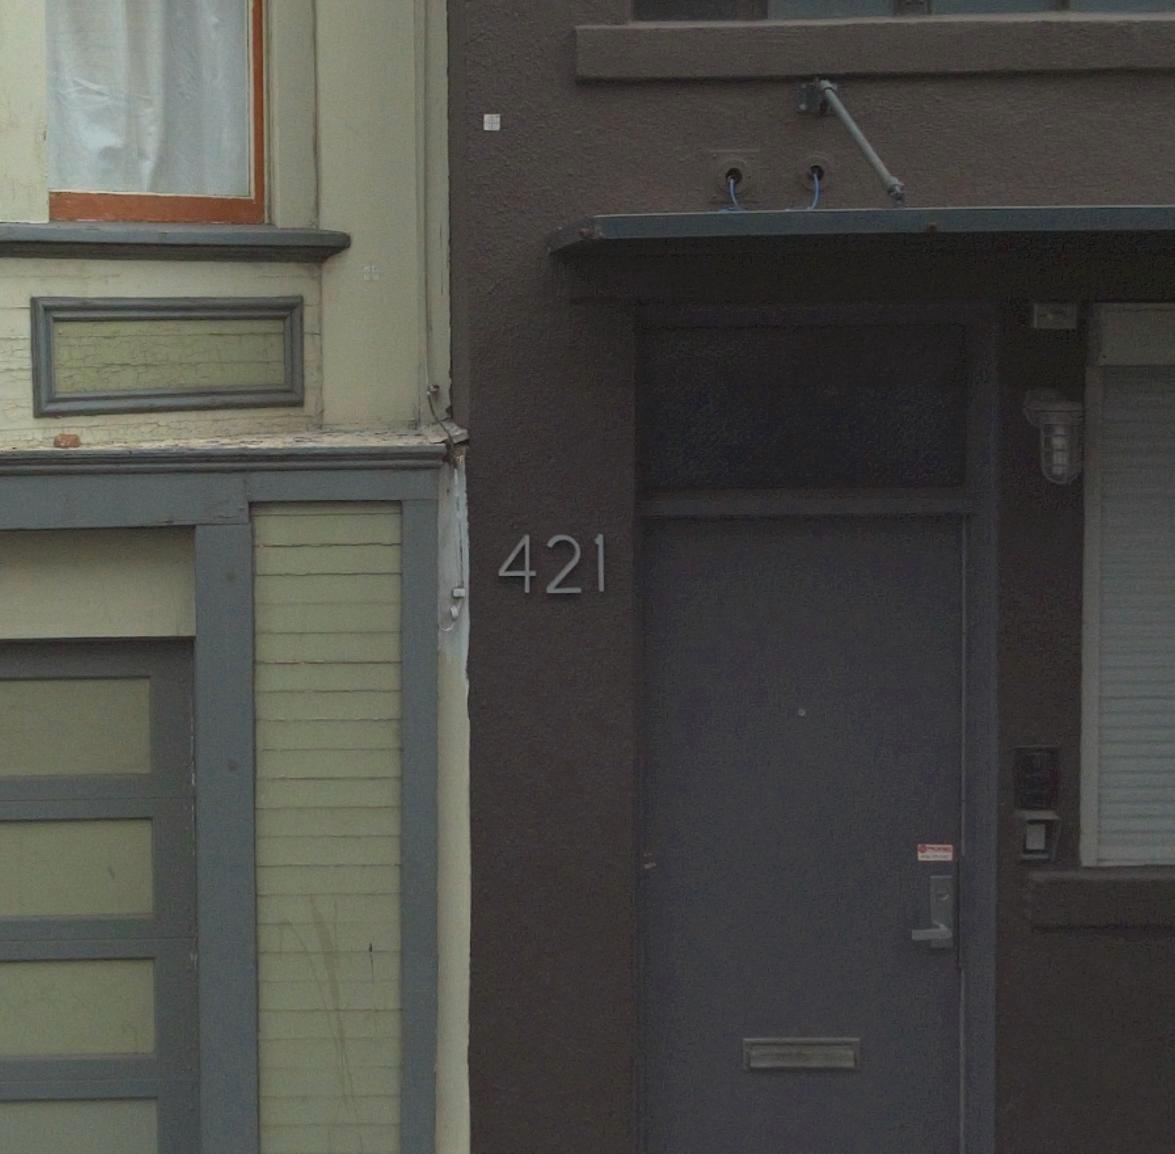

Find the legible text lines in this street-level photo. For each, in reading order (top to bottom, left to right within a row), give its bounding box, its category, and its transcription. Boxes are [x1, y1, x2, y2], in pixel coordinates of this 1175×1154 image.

[493, 530, 608, 598] StreetNumber: 421